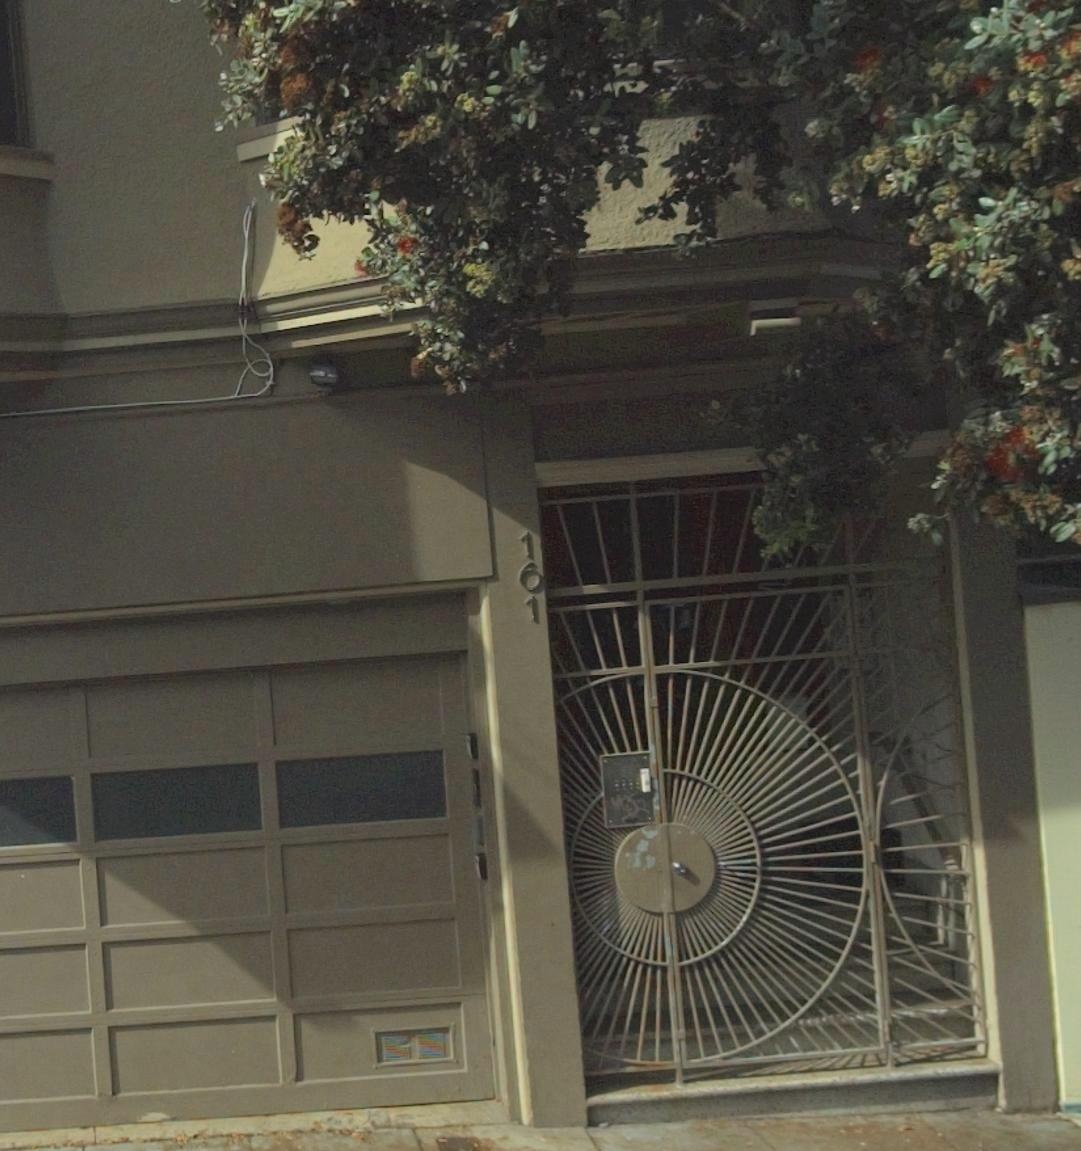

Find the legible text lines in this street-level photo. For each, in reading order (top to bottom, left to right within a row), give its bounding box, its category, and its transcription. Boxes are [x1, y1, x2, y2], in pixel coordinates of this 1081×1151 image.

[515, 529, 545, 626] StreetNumber: 161